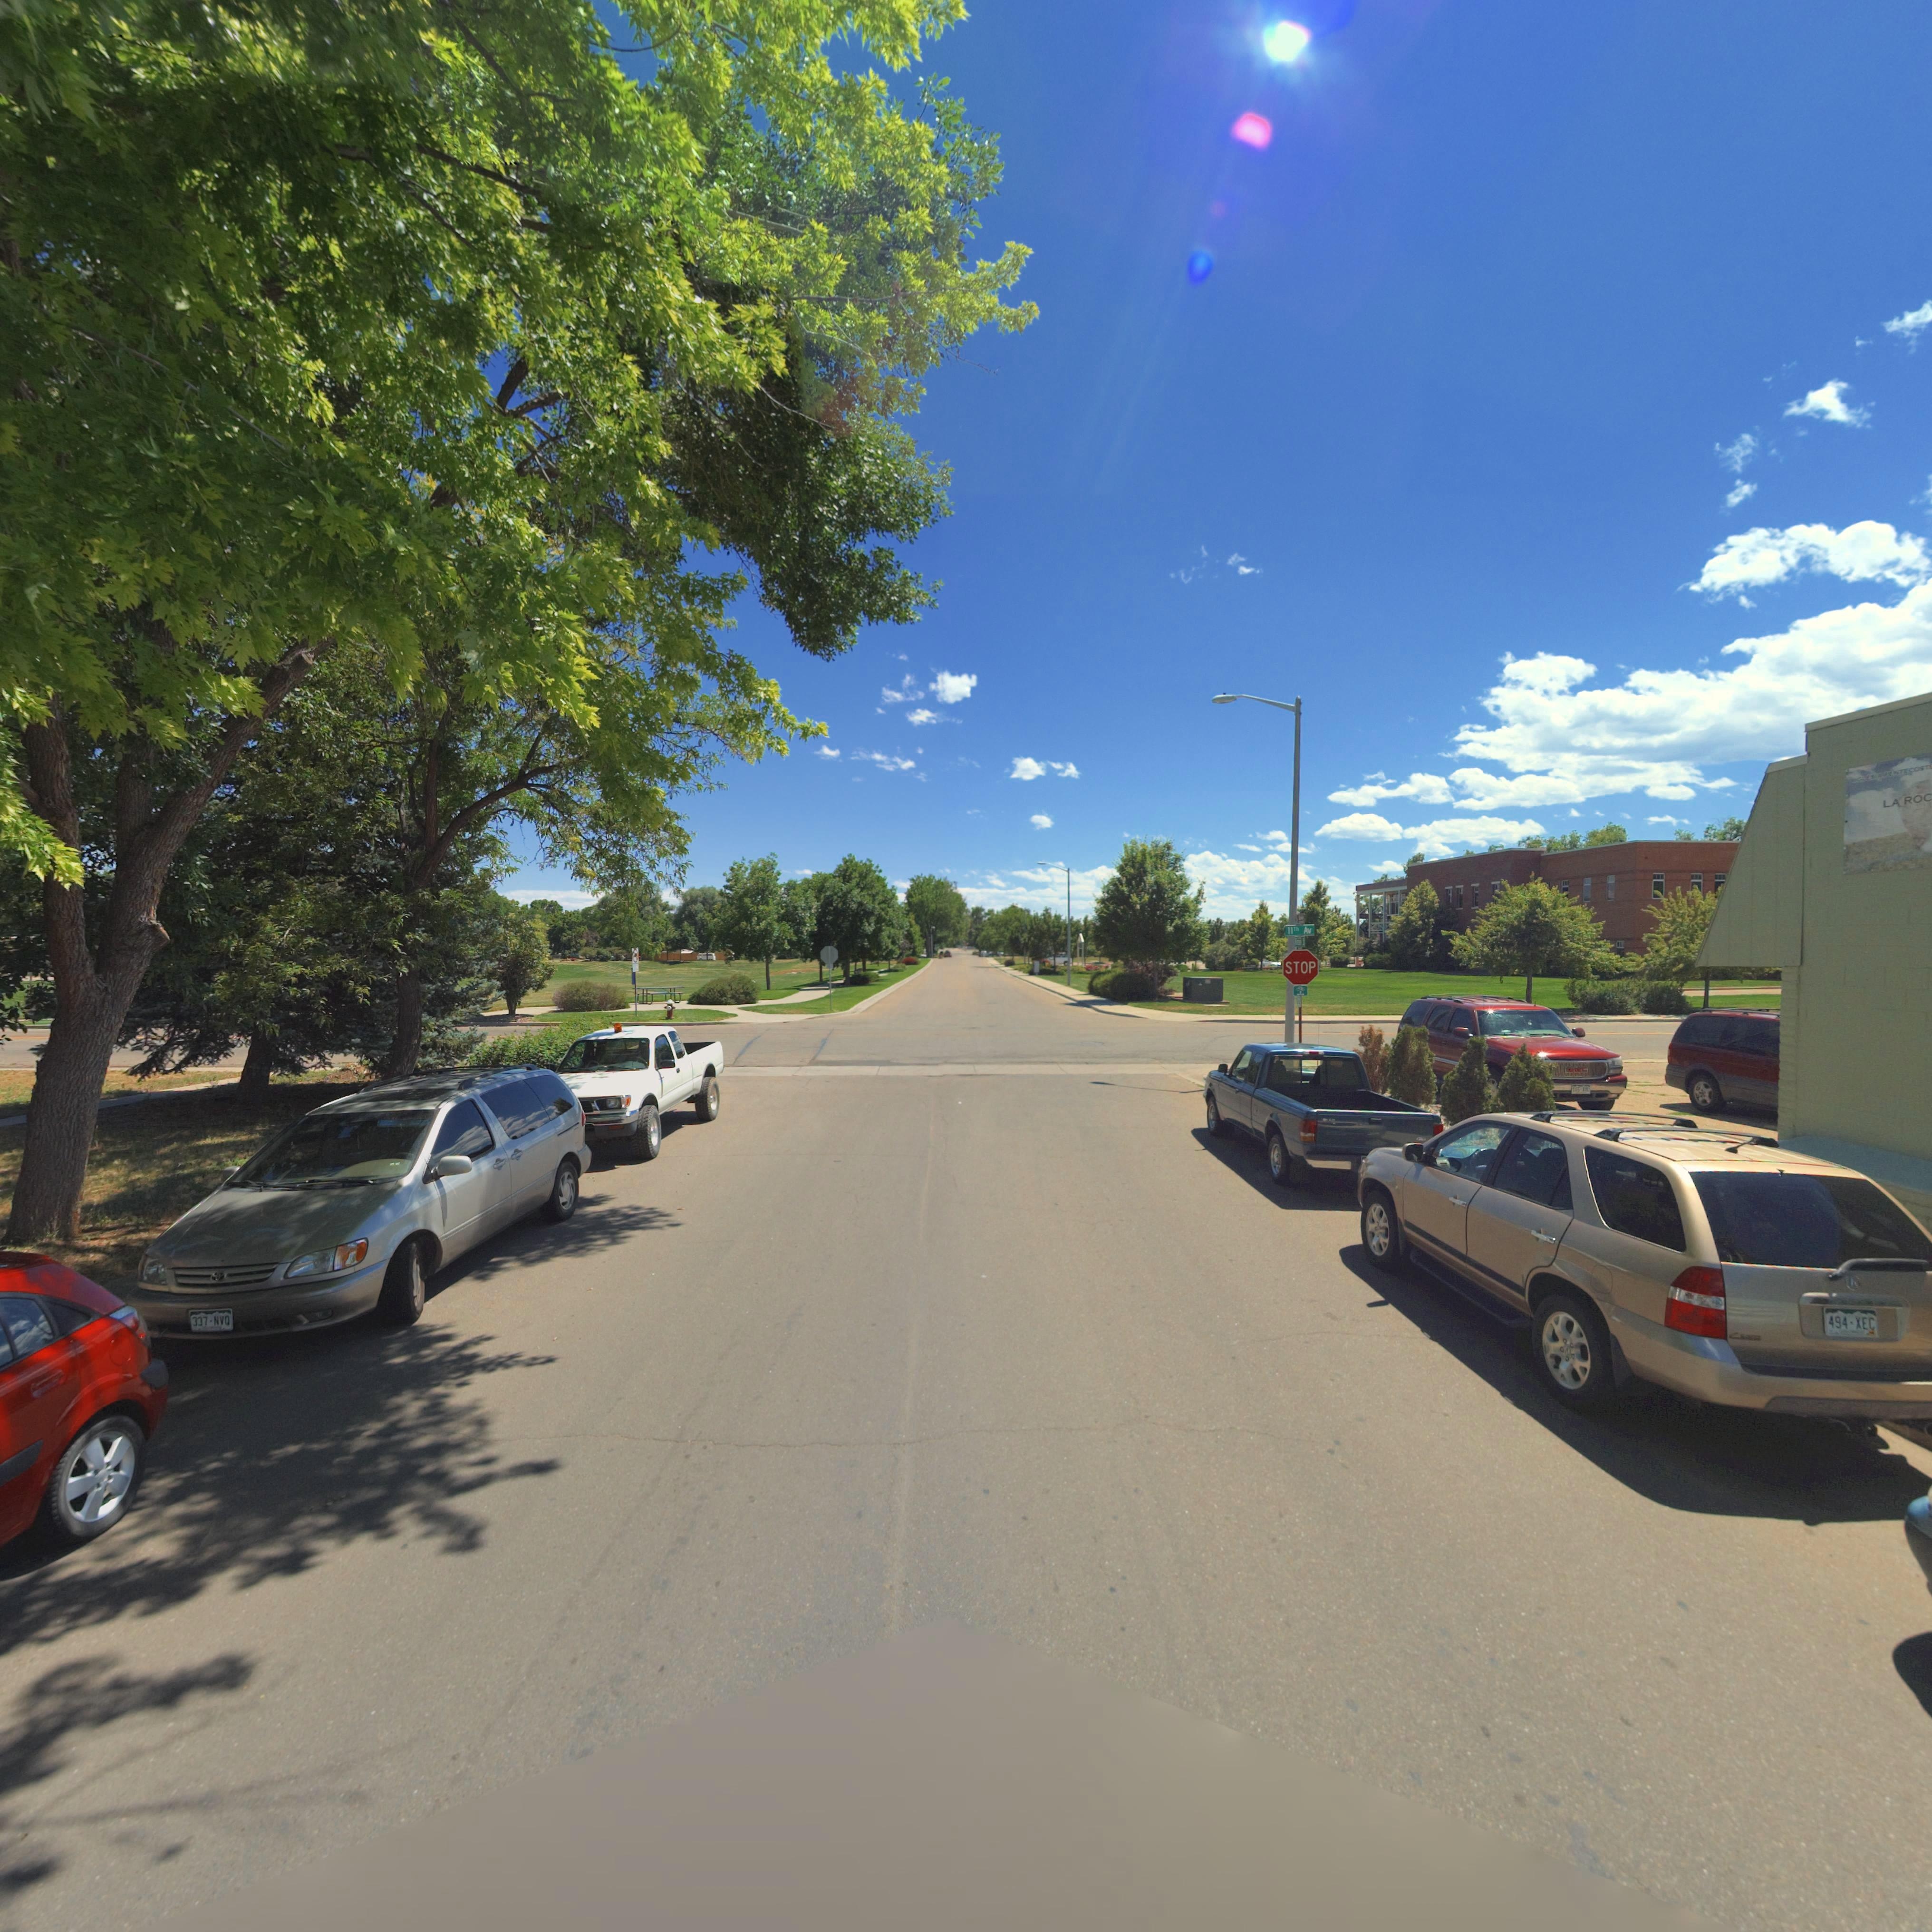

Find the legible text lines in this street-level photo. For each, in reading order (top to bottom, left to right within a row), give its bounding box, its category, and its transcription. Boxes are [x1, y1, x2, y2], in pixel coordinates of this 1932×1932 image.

[1882, 792, 1931, 808] BusinessName: LA ROC
[1287, 926, 1312, 934] StreetName: 11Th Av